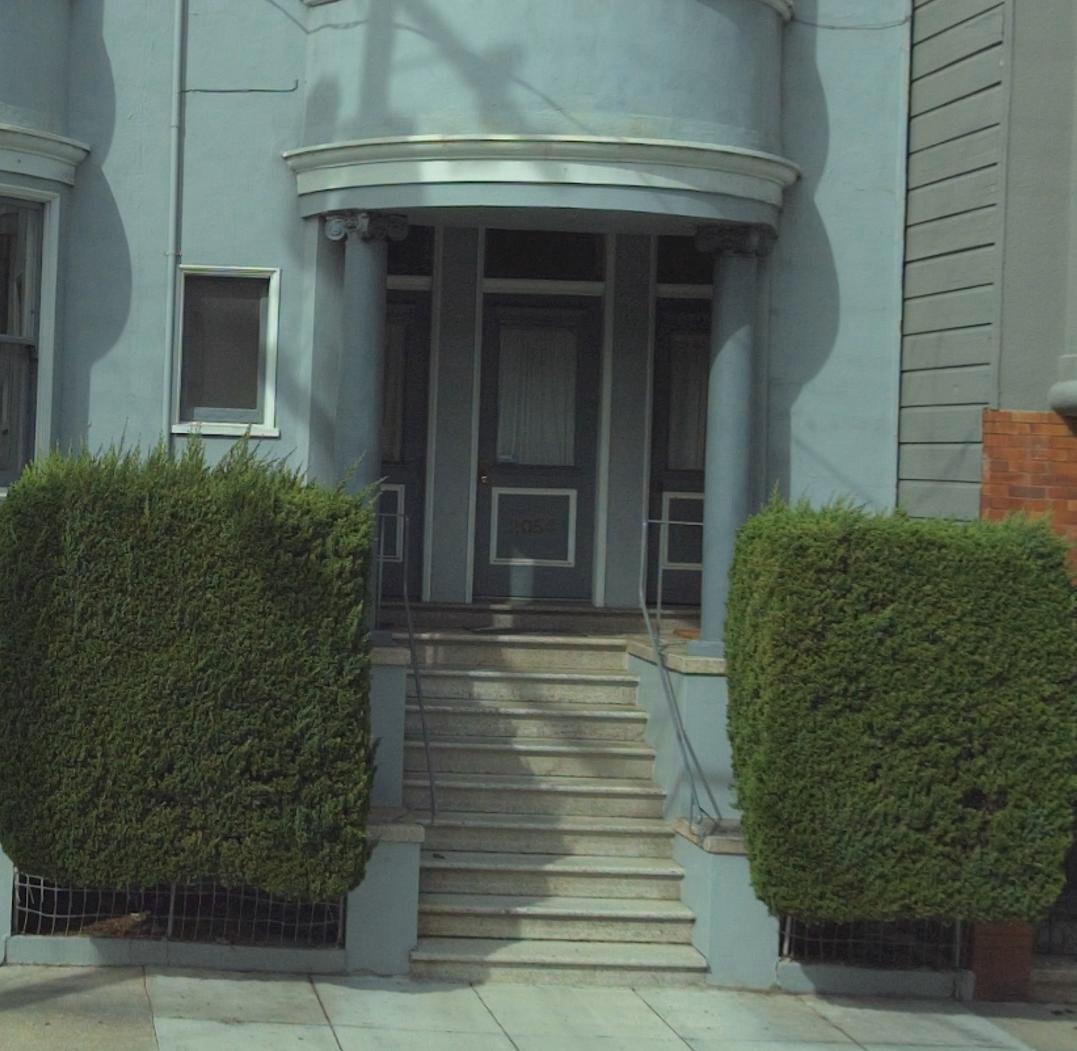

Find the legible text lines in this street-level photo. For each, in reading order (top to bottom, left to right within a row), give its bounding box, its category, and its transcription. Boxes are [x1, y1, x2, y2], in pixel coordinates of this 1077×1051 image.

[508, 516, 557, 538] StreetNumber: 205*